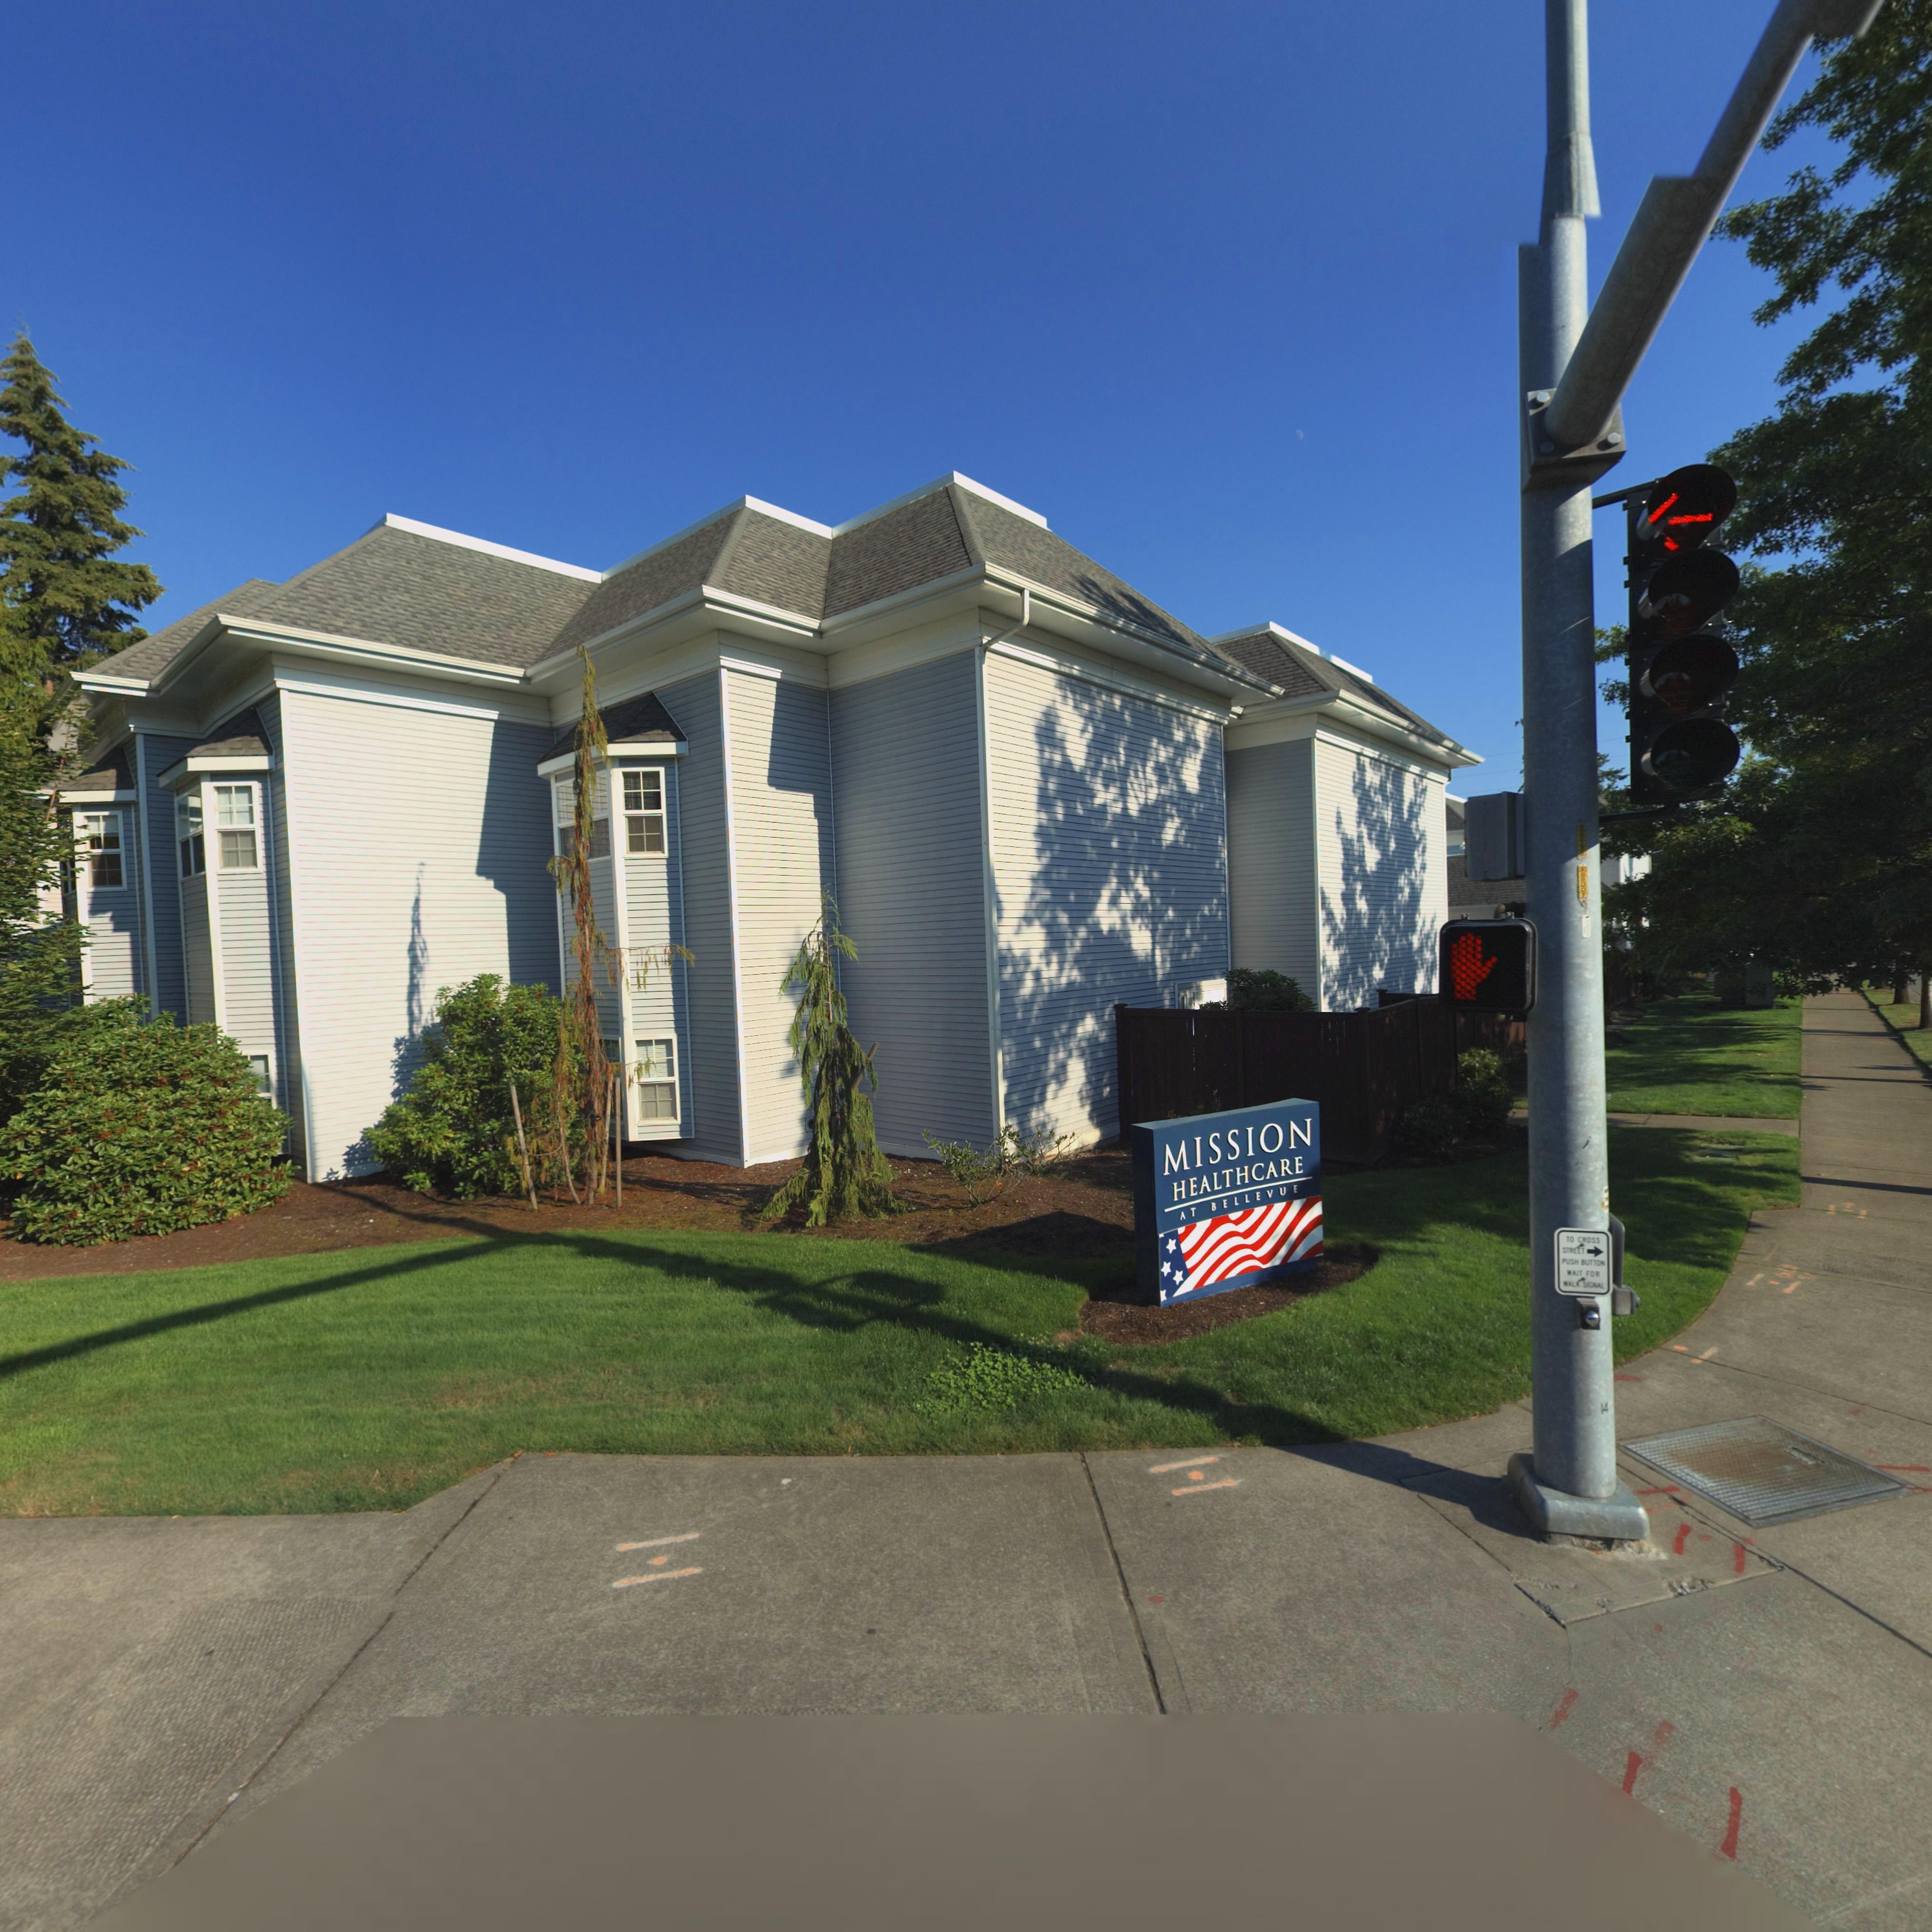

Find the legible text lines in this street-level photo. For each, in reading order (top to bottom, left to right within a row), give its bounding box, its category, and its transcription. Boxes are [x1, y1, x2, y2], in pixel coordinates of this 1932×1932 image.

[1161, 1116, 1312, 1177] BusinessName: MISSION
[1171, 1156, 1304, 1200] BusinessName: HEALTHCARE